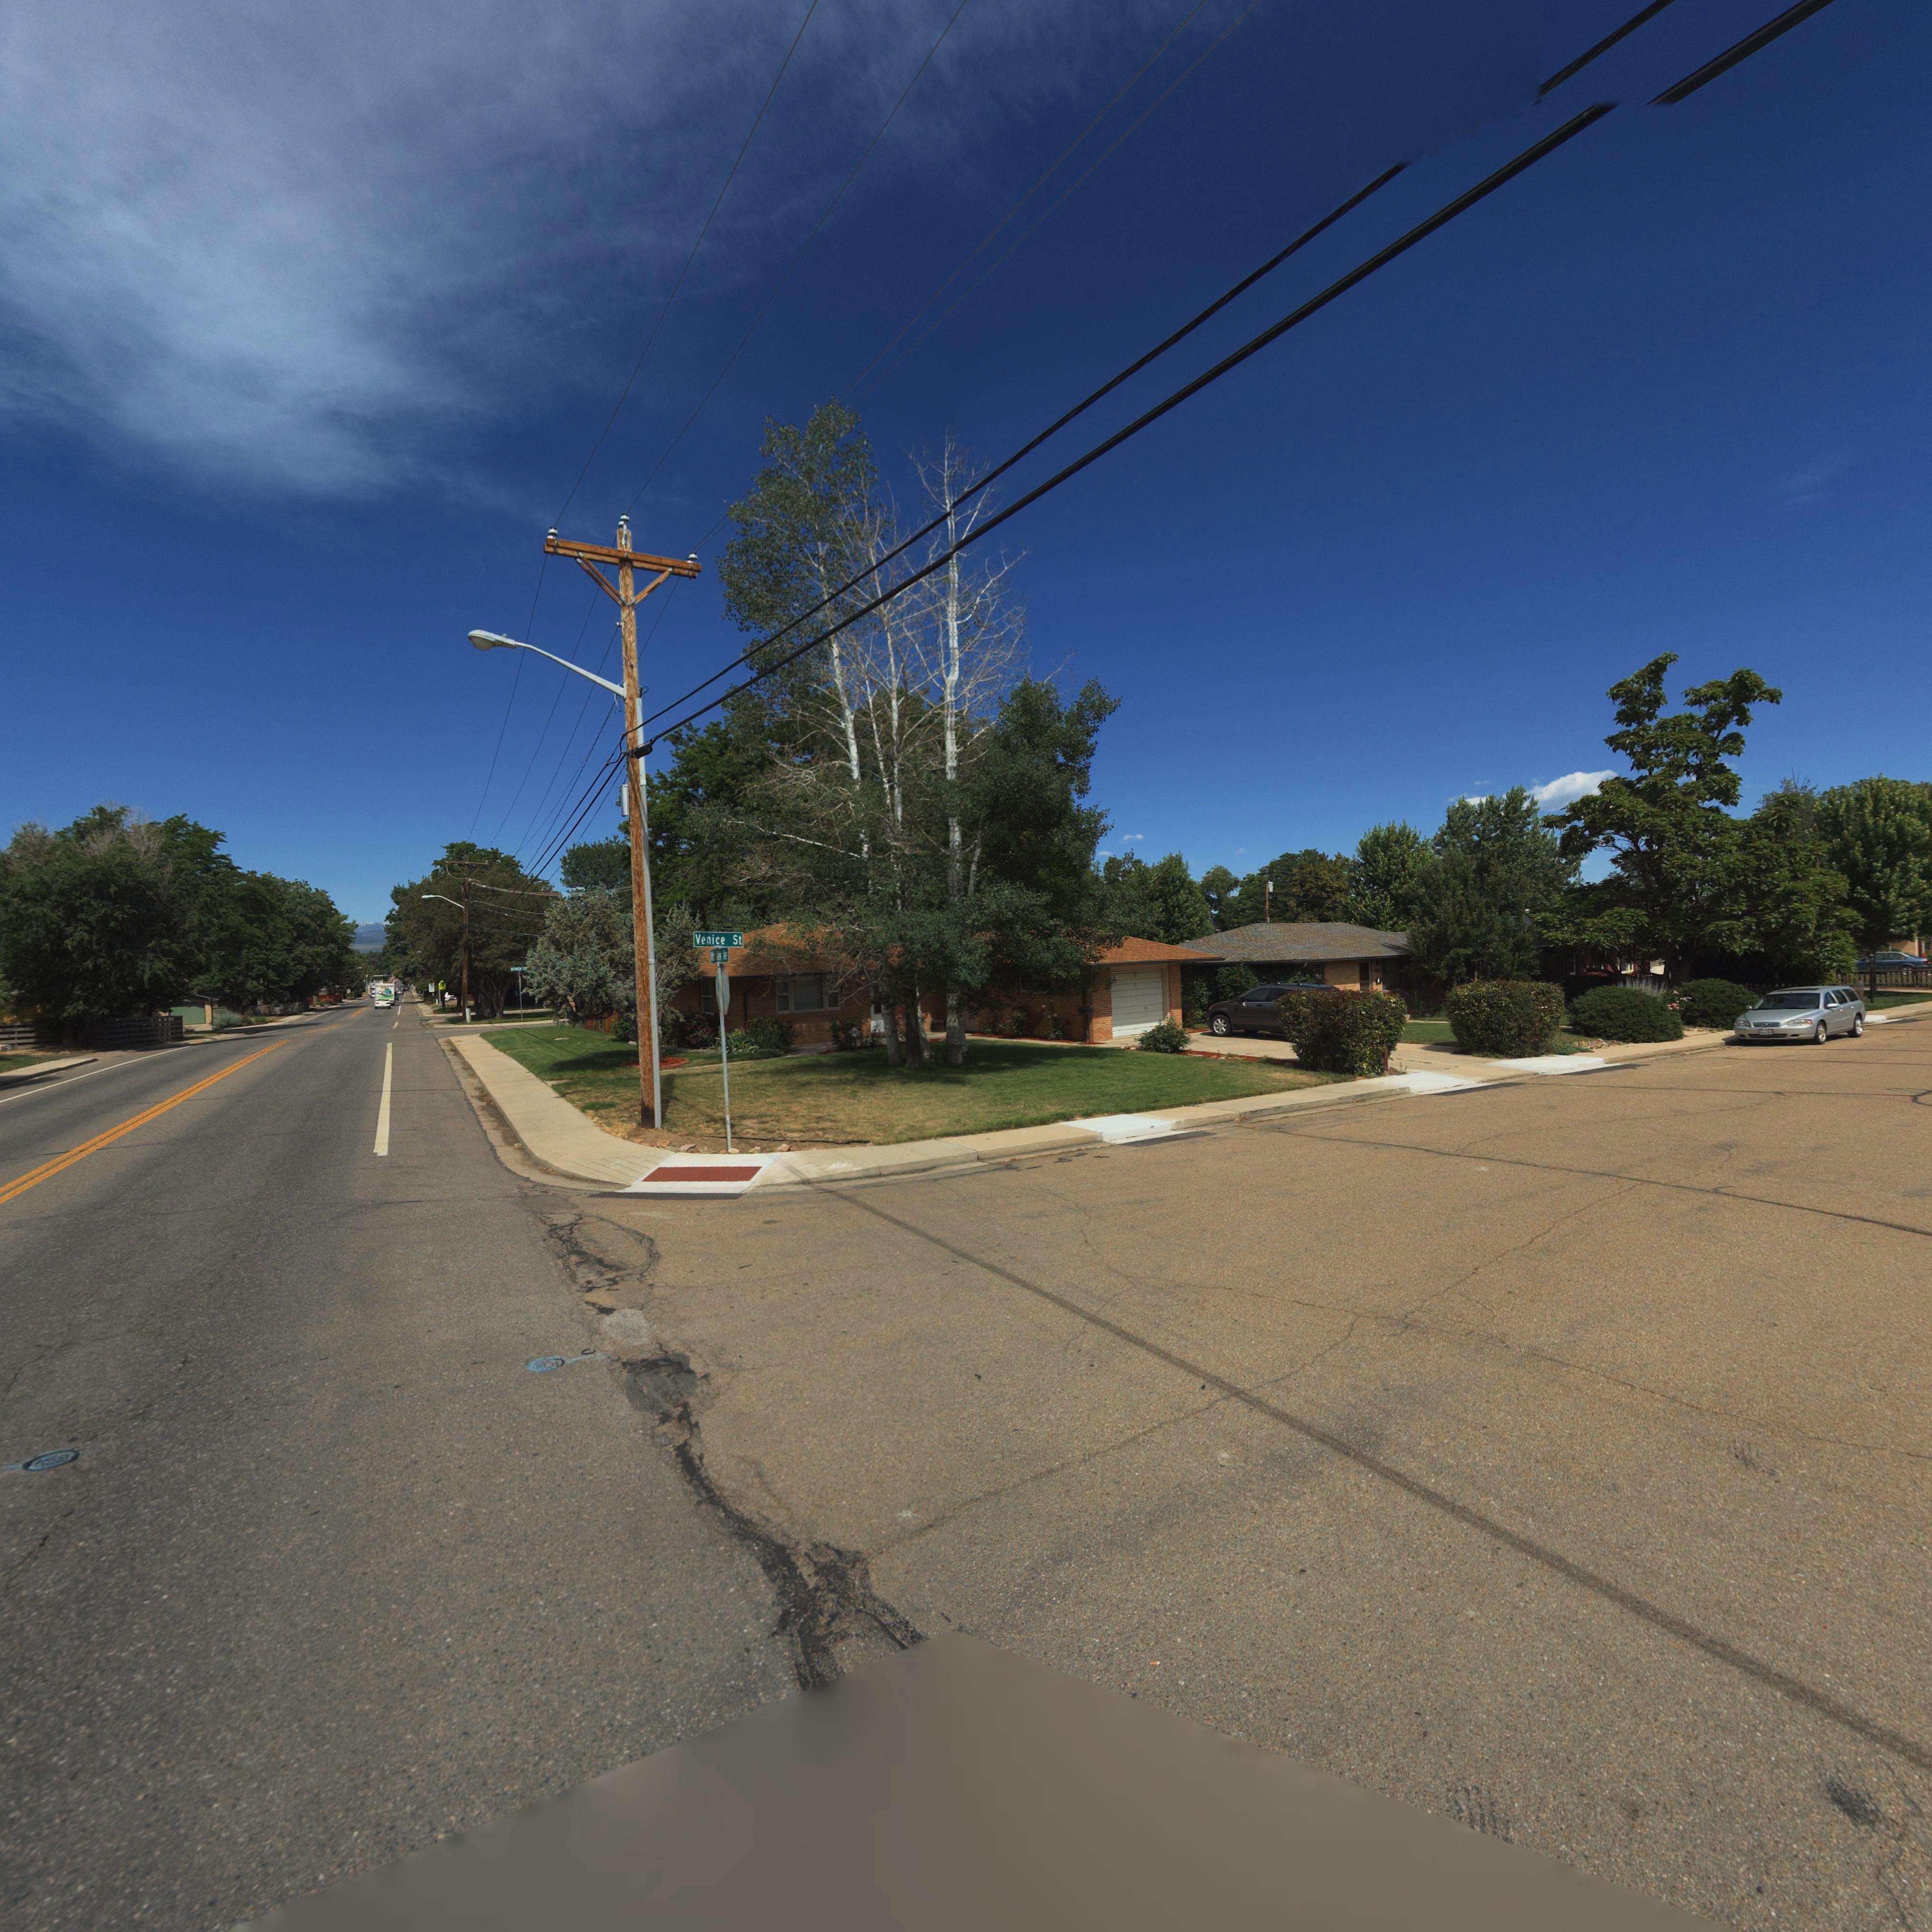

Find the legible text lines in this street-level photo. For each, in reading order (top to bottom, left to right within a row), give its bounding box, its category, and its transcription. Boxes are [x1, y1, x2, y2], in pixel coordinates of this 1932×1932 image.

[695, 934, 742, 945] StreetName: Venice St
[710, 949, 727, 961] StreetName: ** V*ew A*e